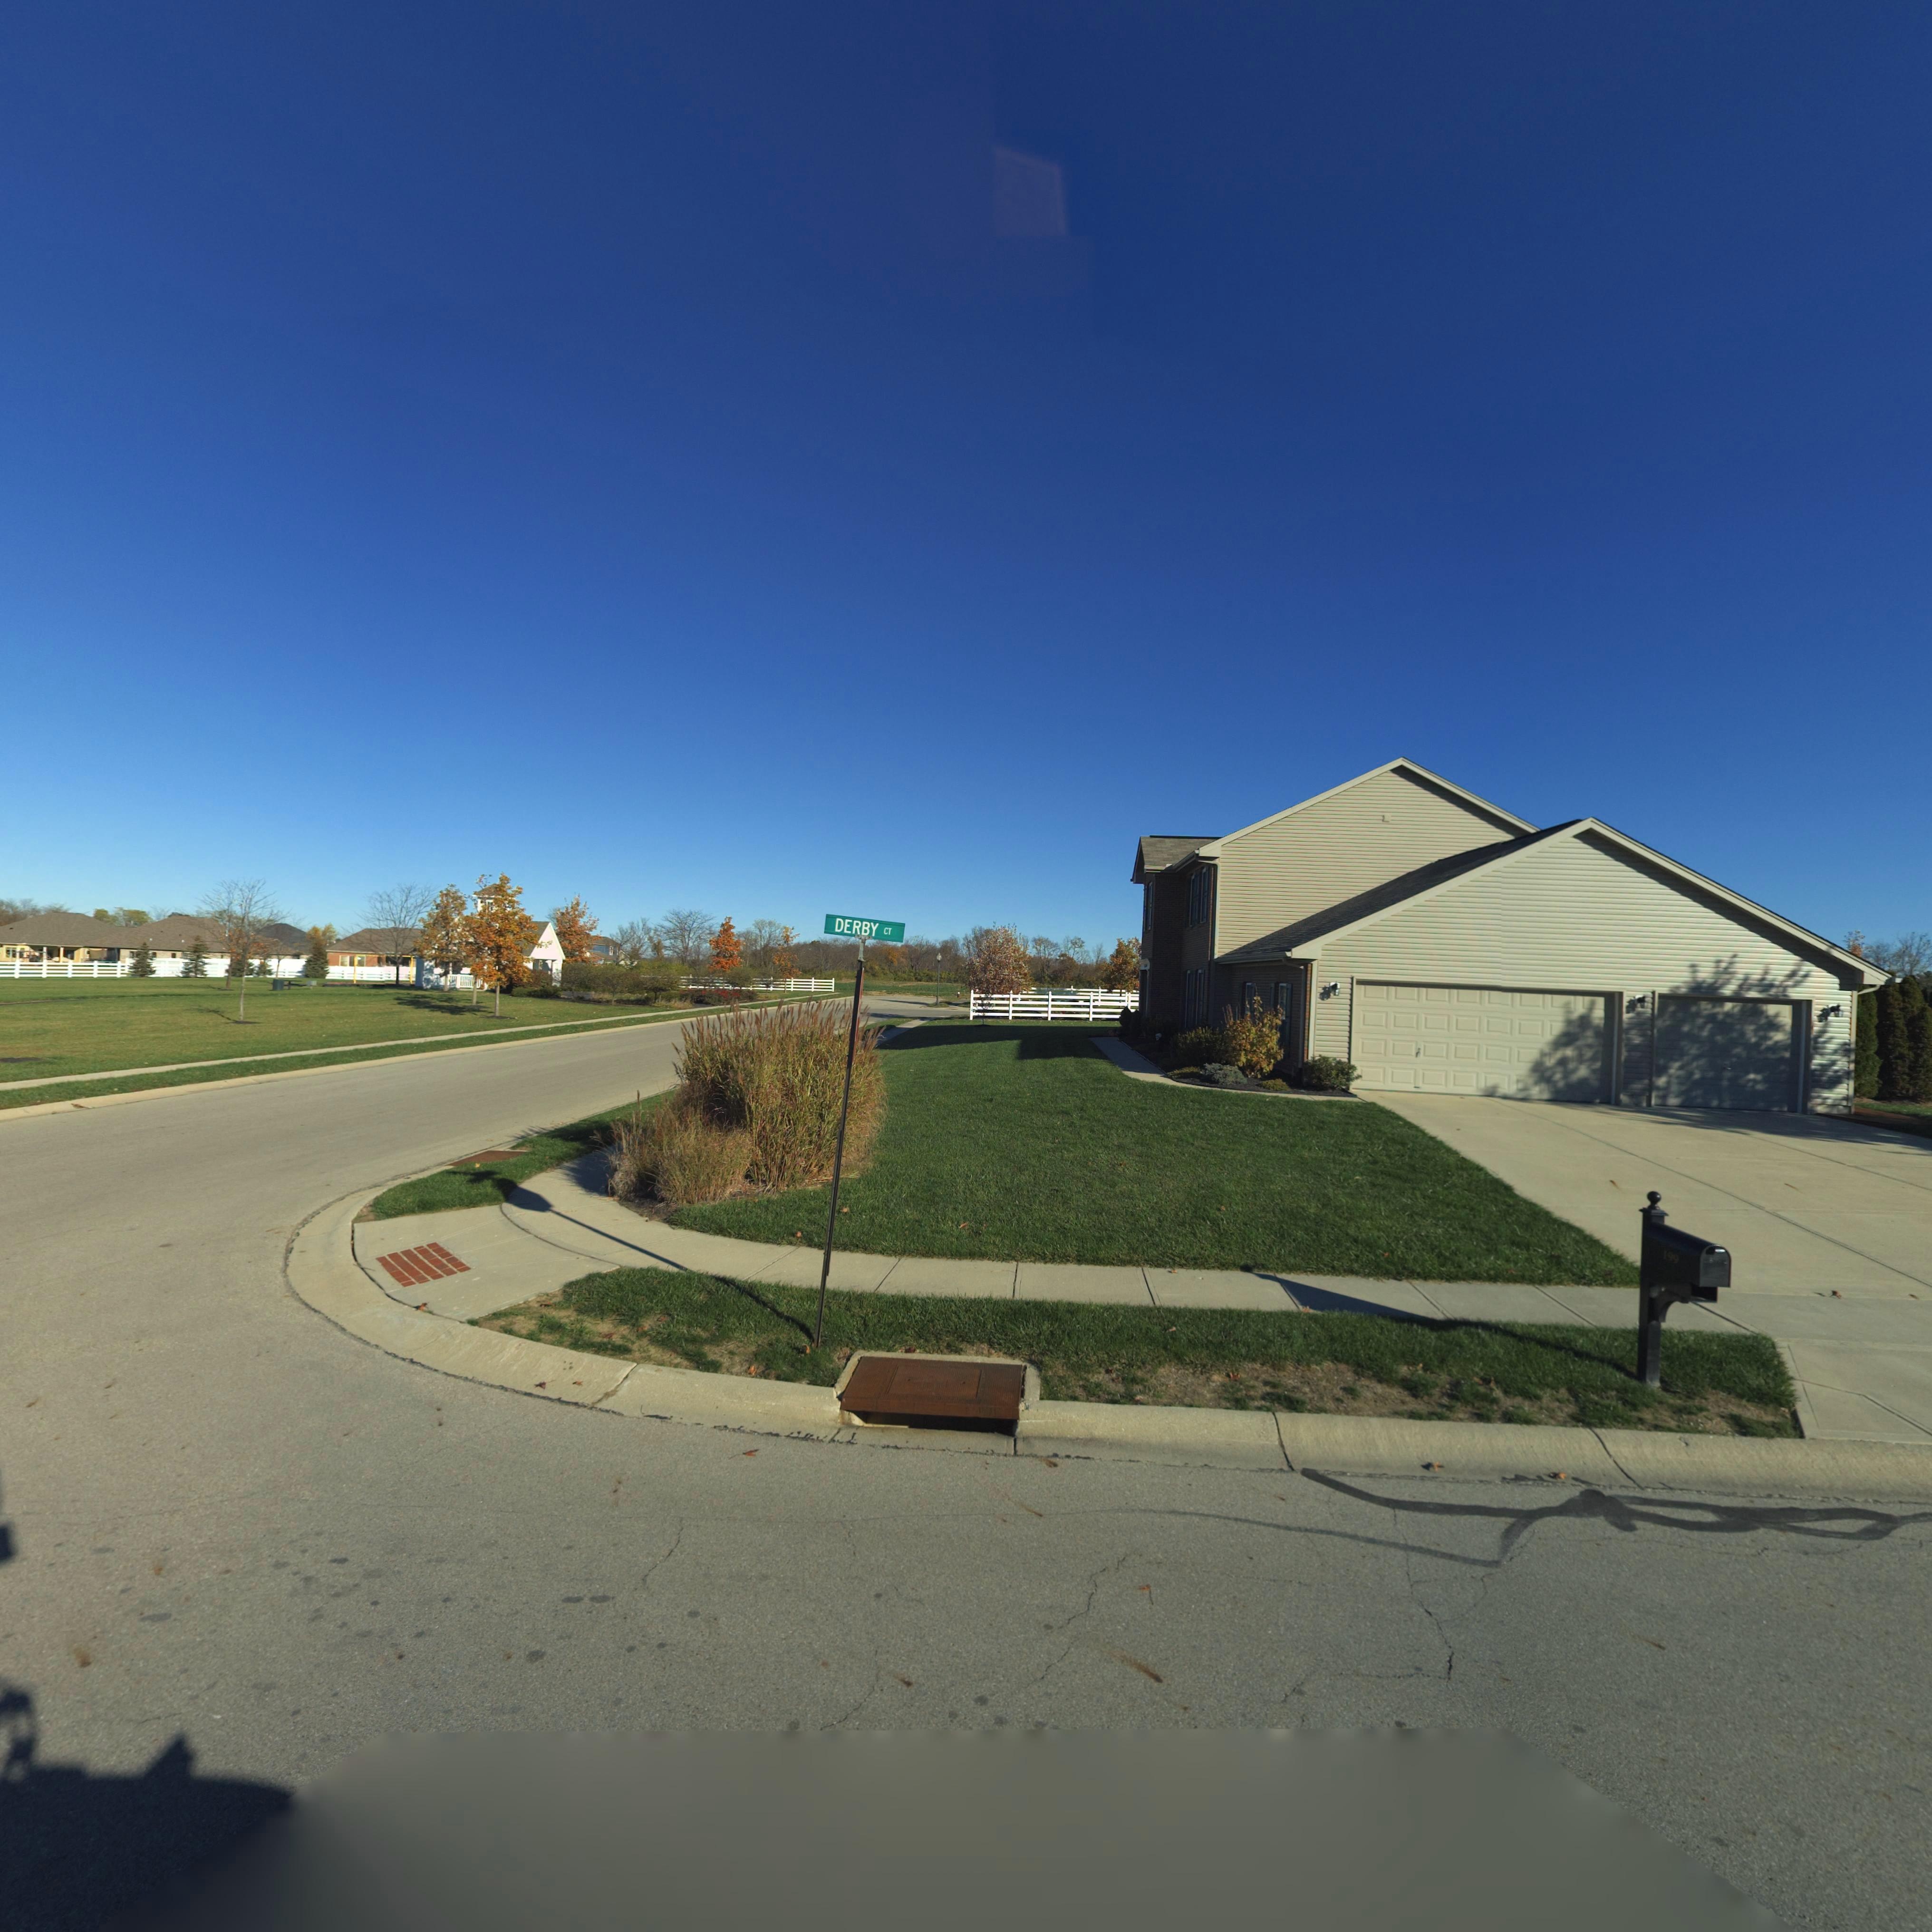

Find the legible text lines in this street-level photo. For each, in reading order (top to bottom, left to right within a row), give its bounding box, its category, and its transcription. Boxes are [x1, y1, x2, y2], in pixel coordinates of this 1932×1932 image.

[834, 917, 879, 938] None: DERBY
[883, 927, 892, 936] None: CT
[1662, 1248, 1681, 1265] StreetNumber: 199